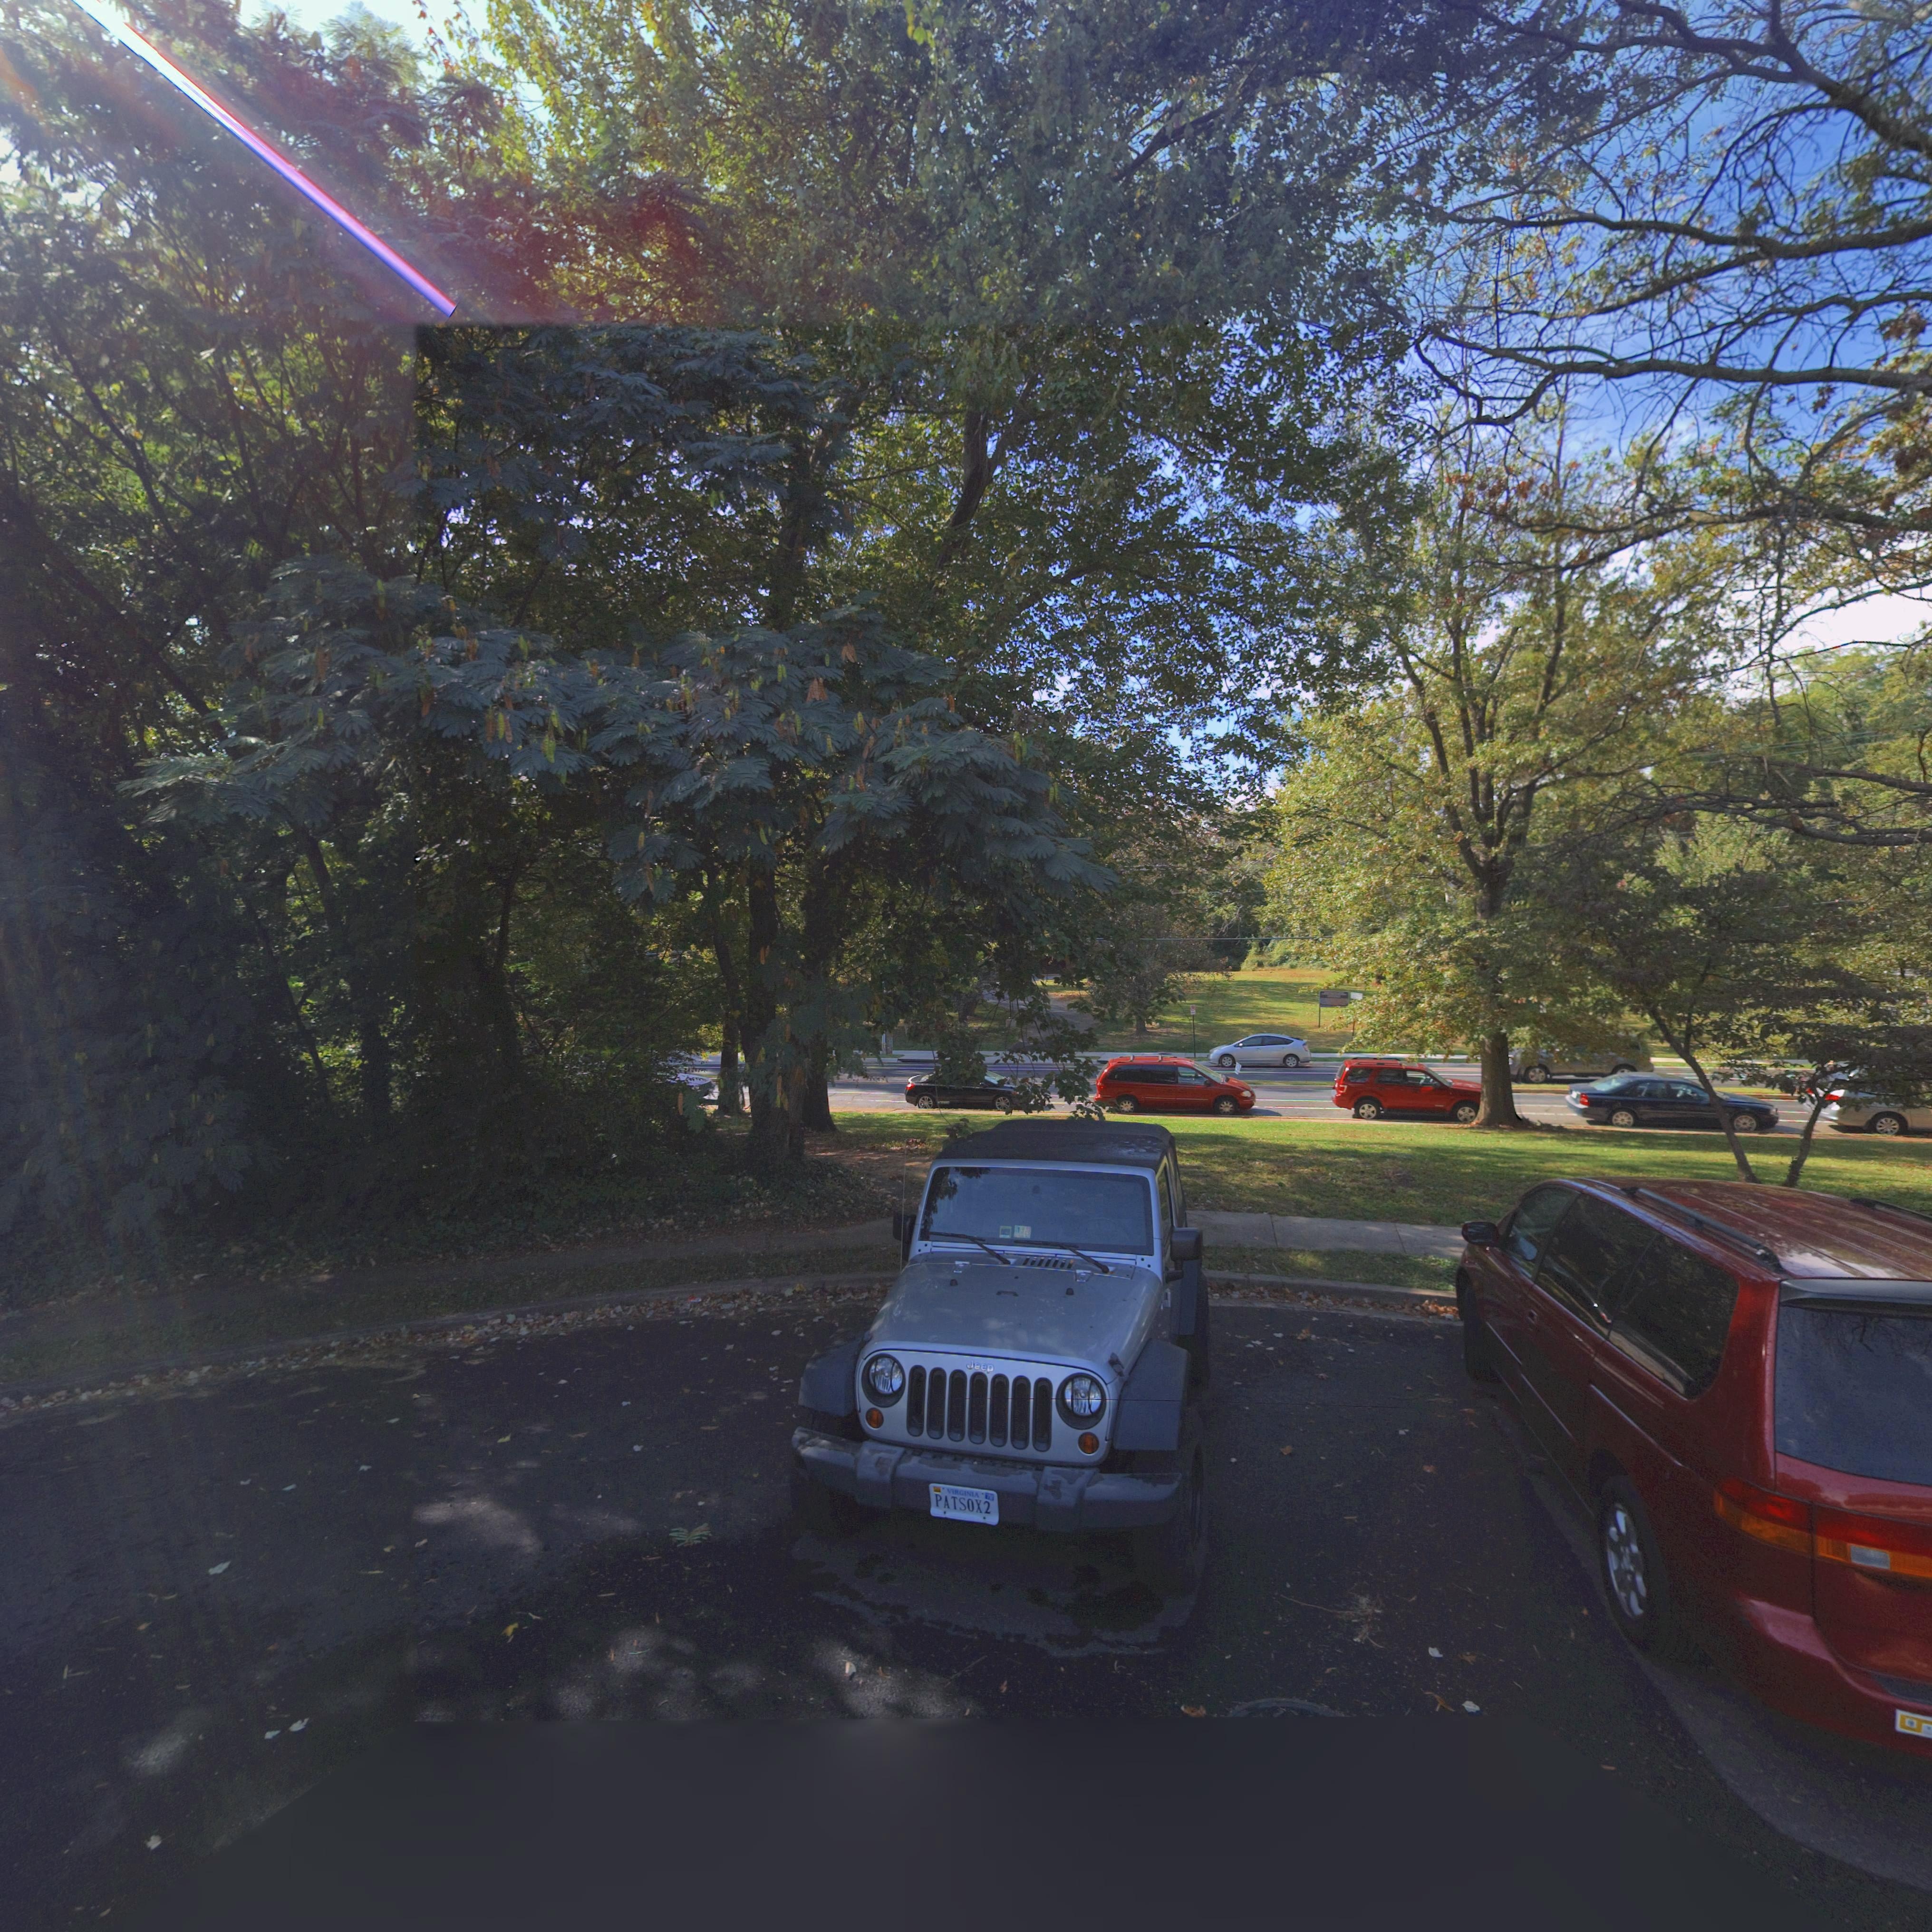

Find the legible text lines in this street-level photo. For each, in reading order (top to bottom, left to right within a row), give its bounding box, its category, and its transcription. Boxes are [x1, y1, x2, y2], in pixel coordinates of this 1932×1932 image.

[965, 1357, 995, 1375] None: Jeep
[945, 1486, 981, 1499] None: VIRGINIA
[932, 1491, 993, 1516] None: PATSOX2